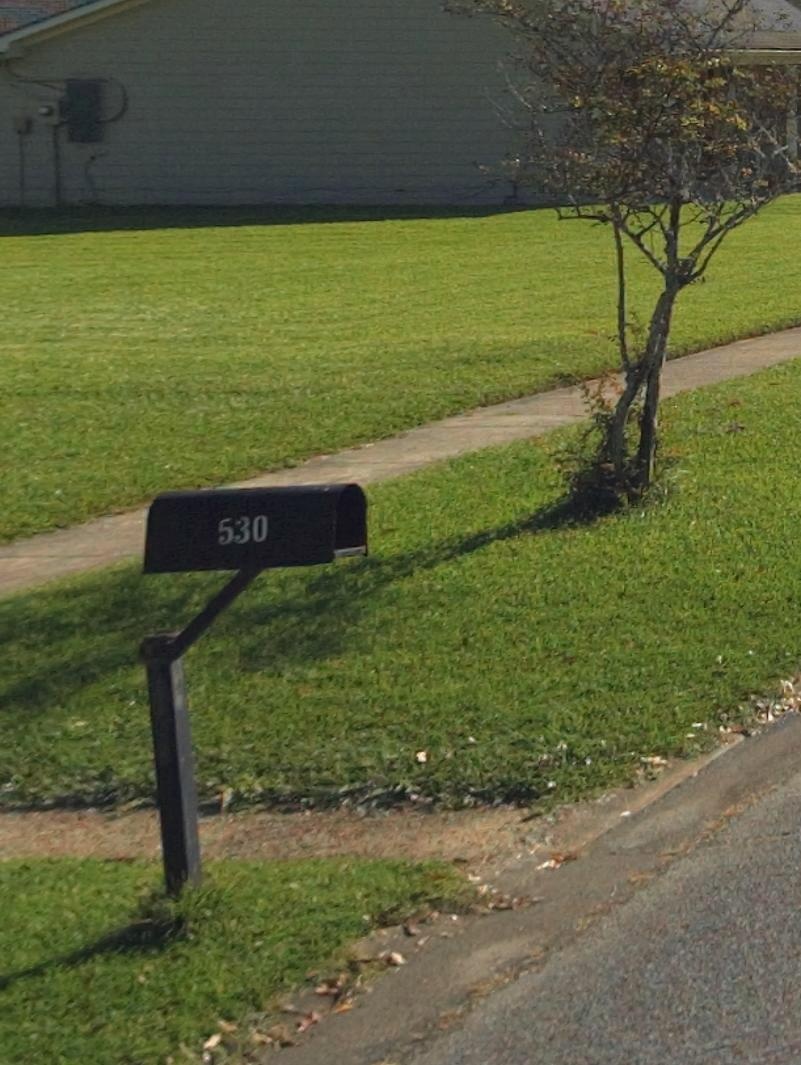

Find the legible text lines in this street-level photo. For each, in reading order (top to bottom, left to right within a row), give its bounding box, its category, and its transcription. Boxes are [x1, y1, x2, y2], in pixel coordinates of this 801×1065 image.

[217, 514, 270, 546] StreetNumber: 530